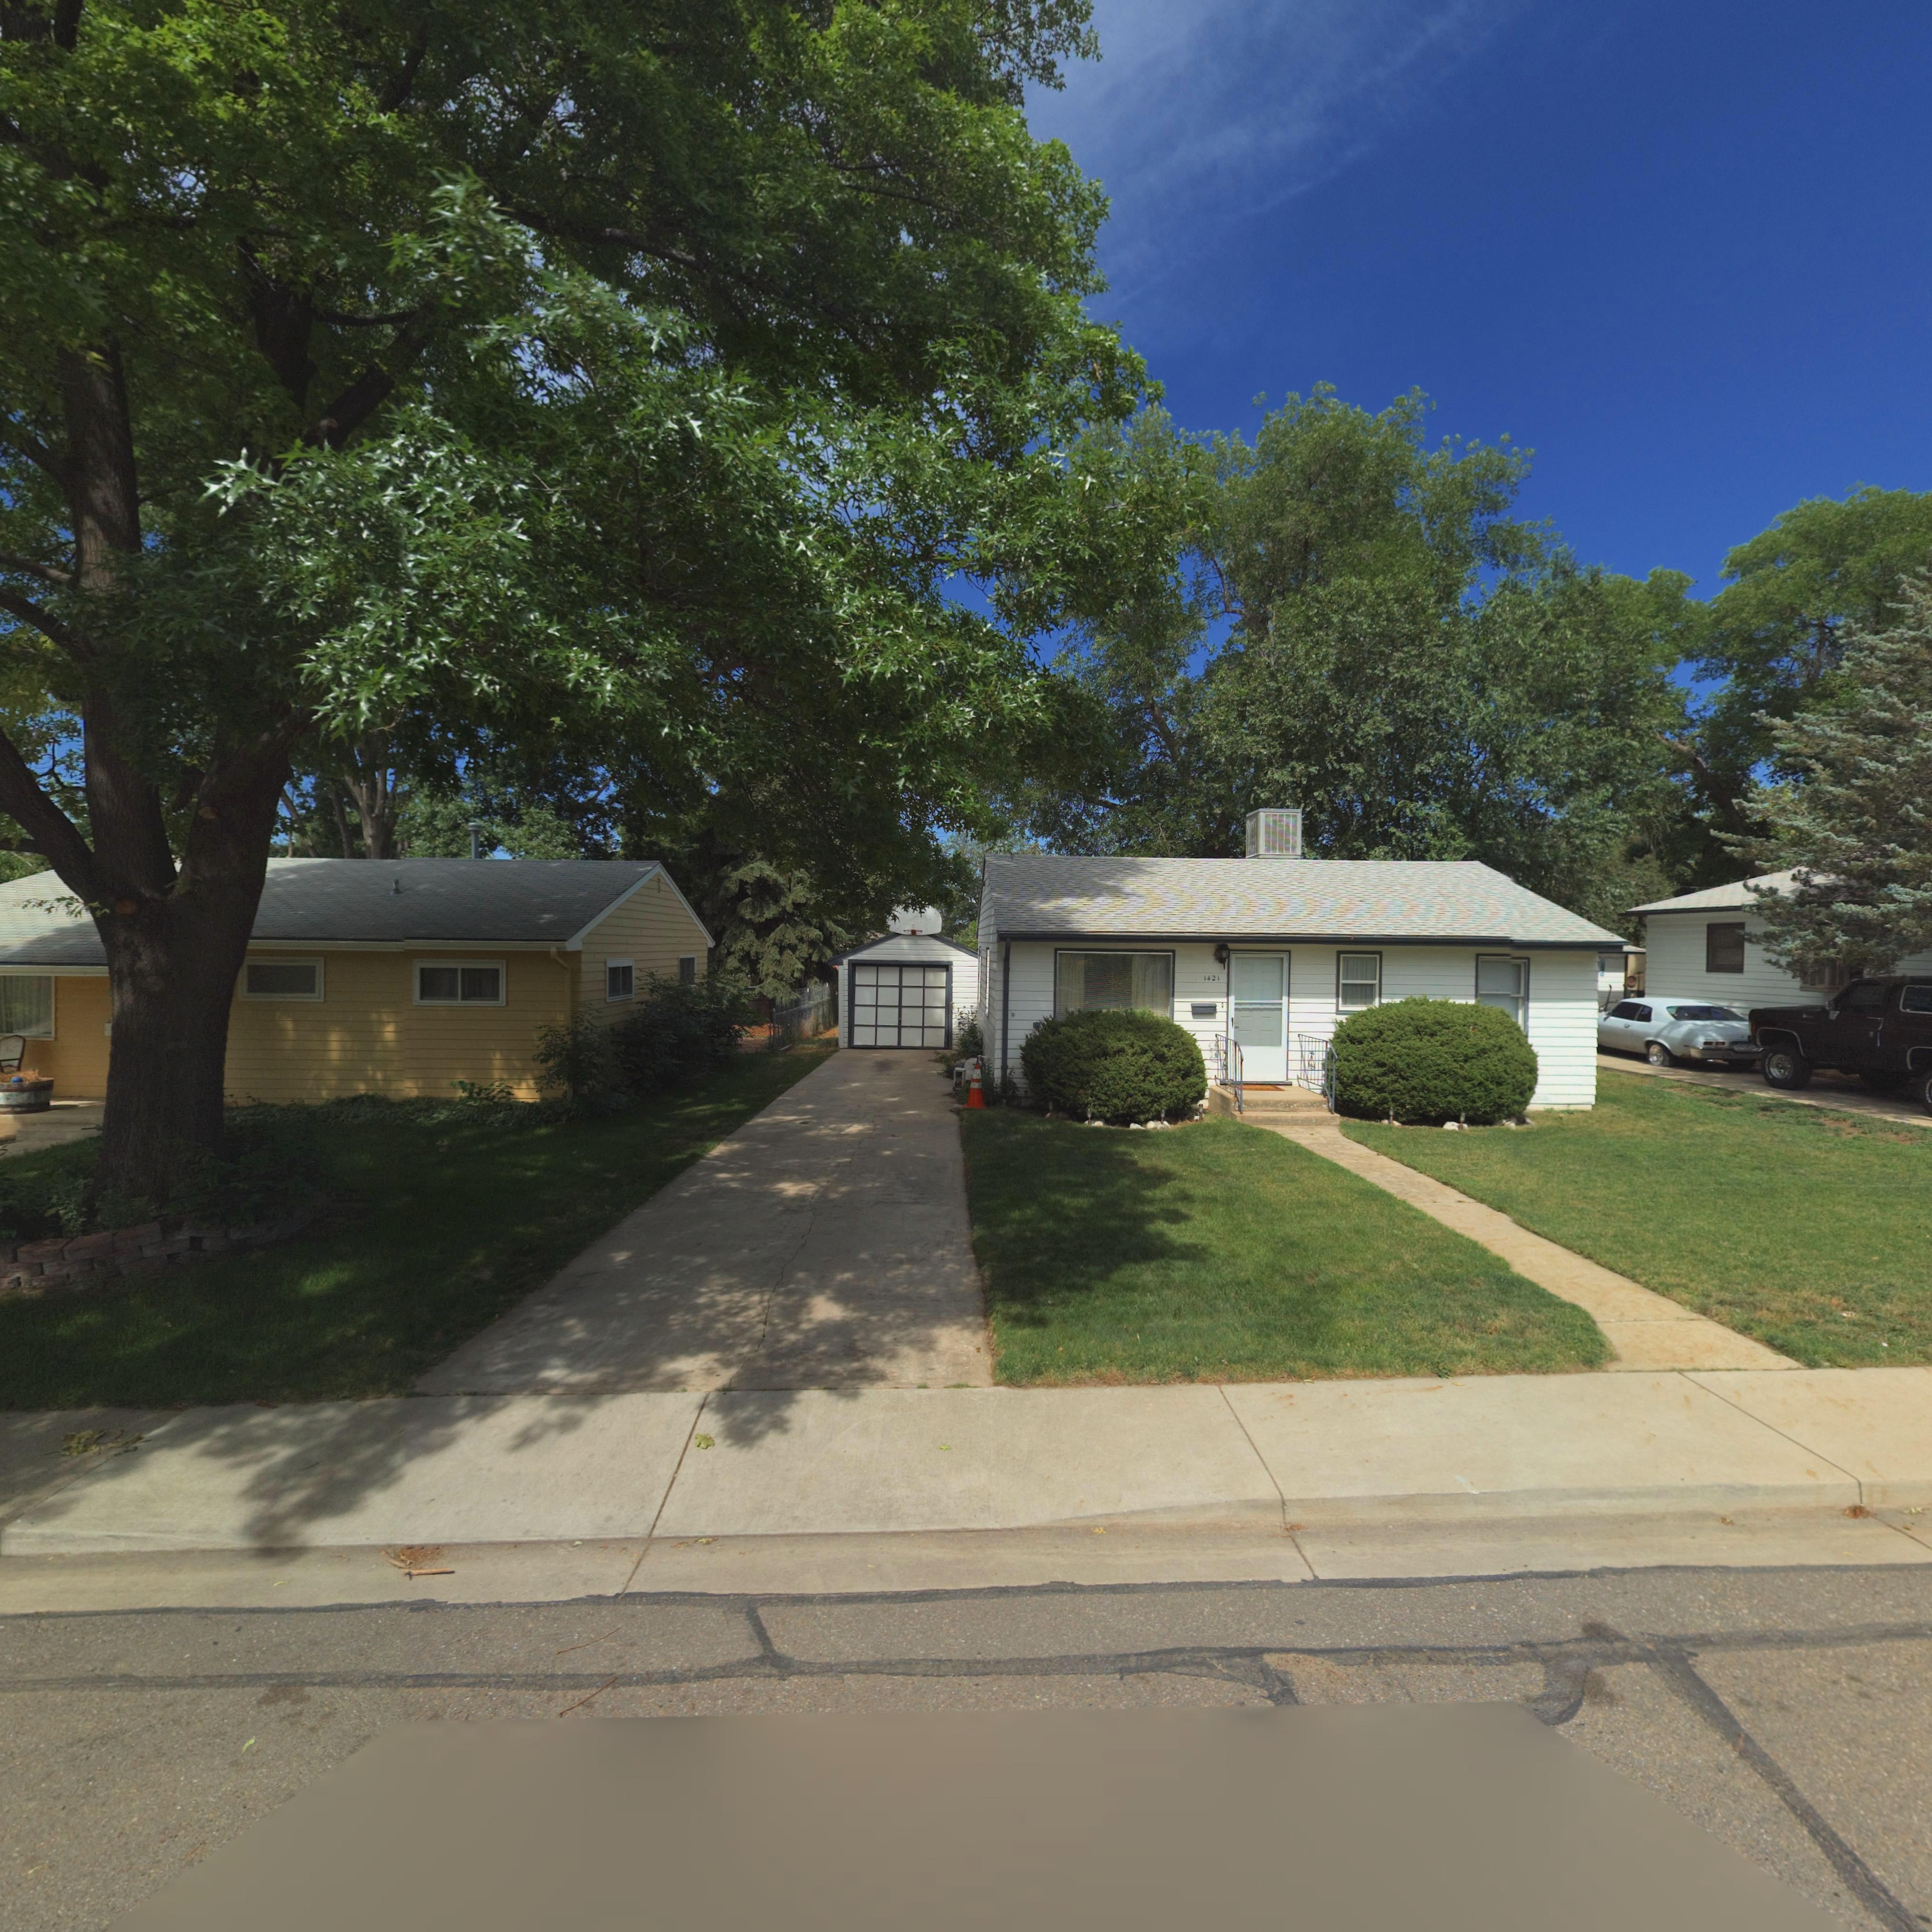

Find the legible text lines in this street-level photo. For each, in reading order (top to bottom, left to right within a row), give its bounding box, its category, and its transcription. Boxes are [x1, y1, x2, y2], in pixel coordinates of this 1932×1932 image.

[1203, 975, 1220, 981] StreetNumber: 1421